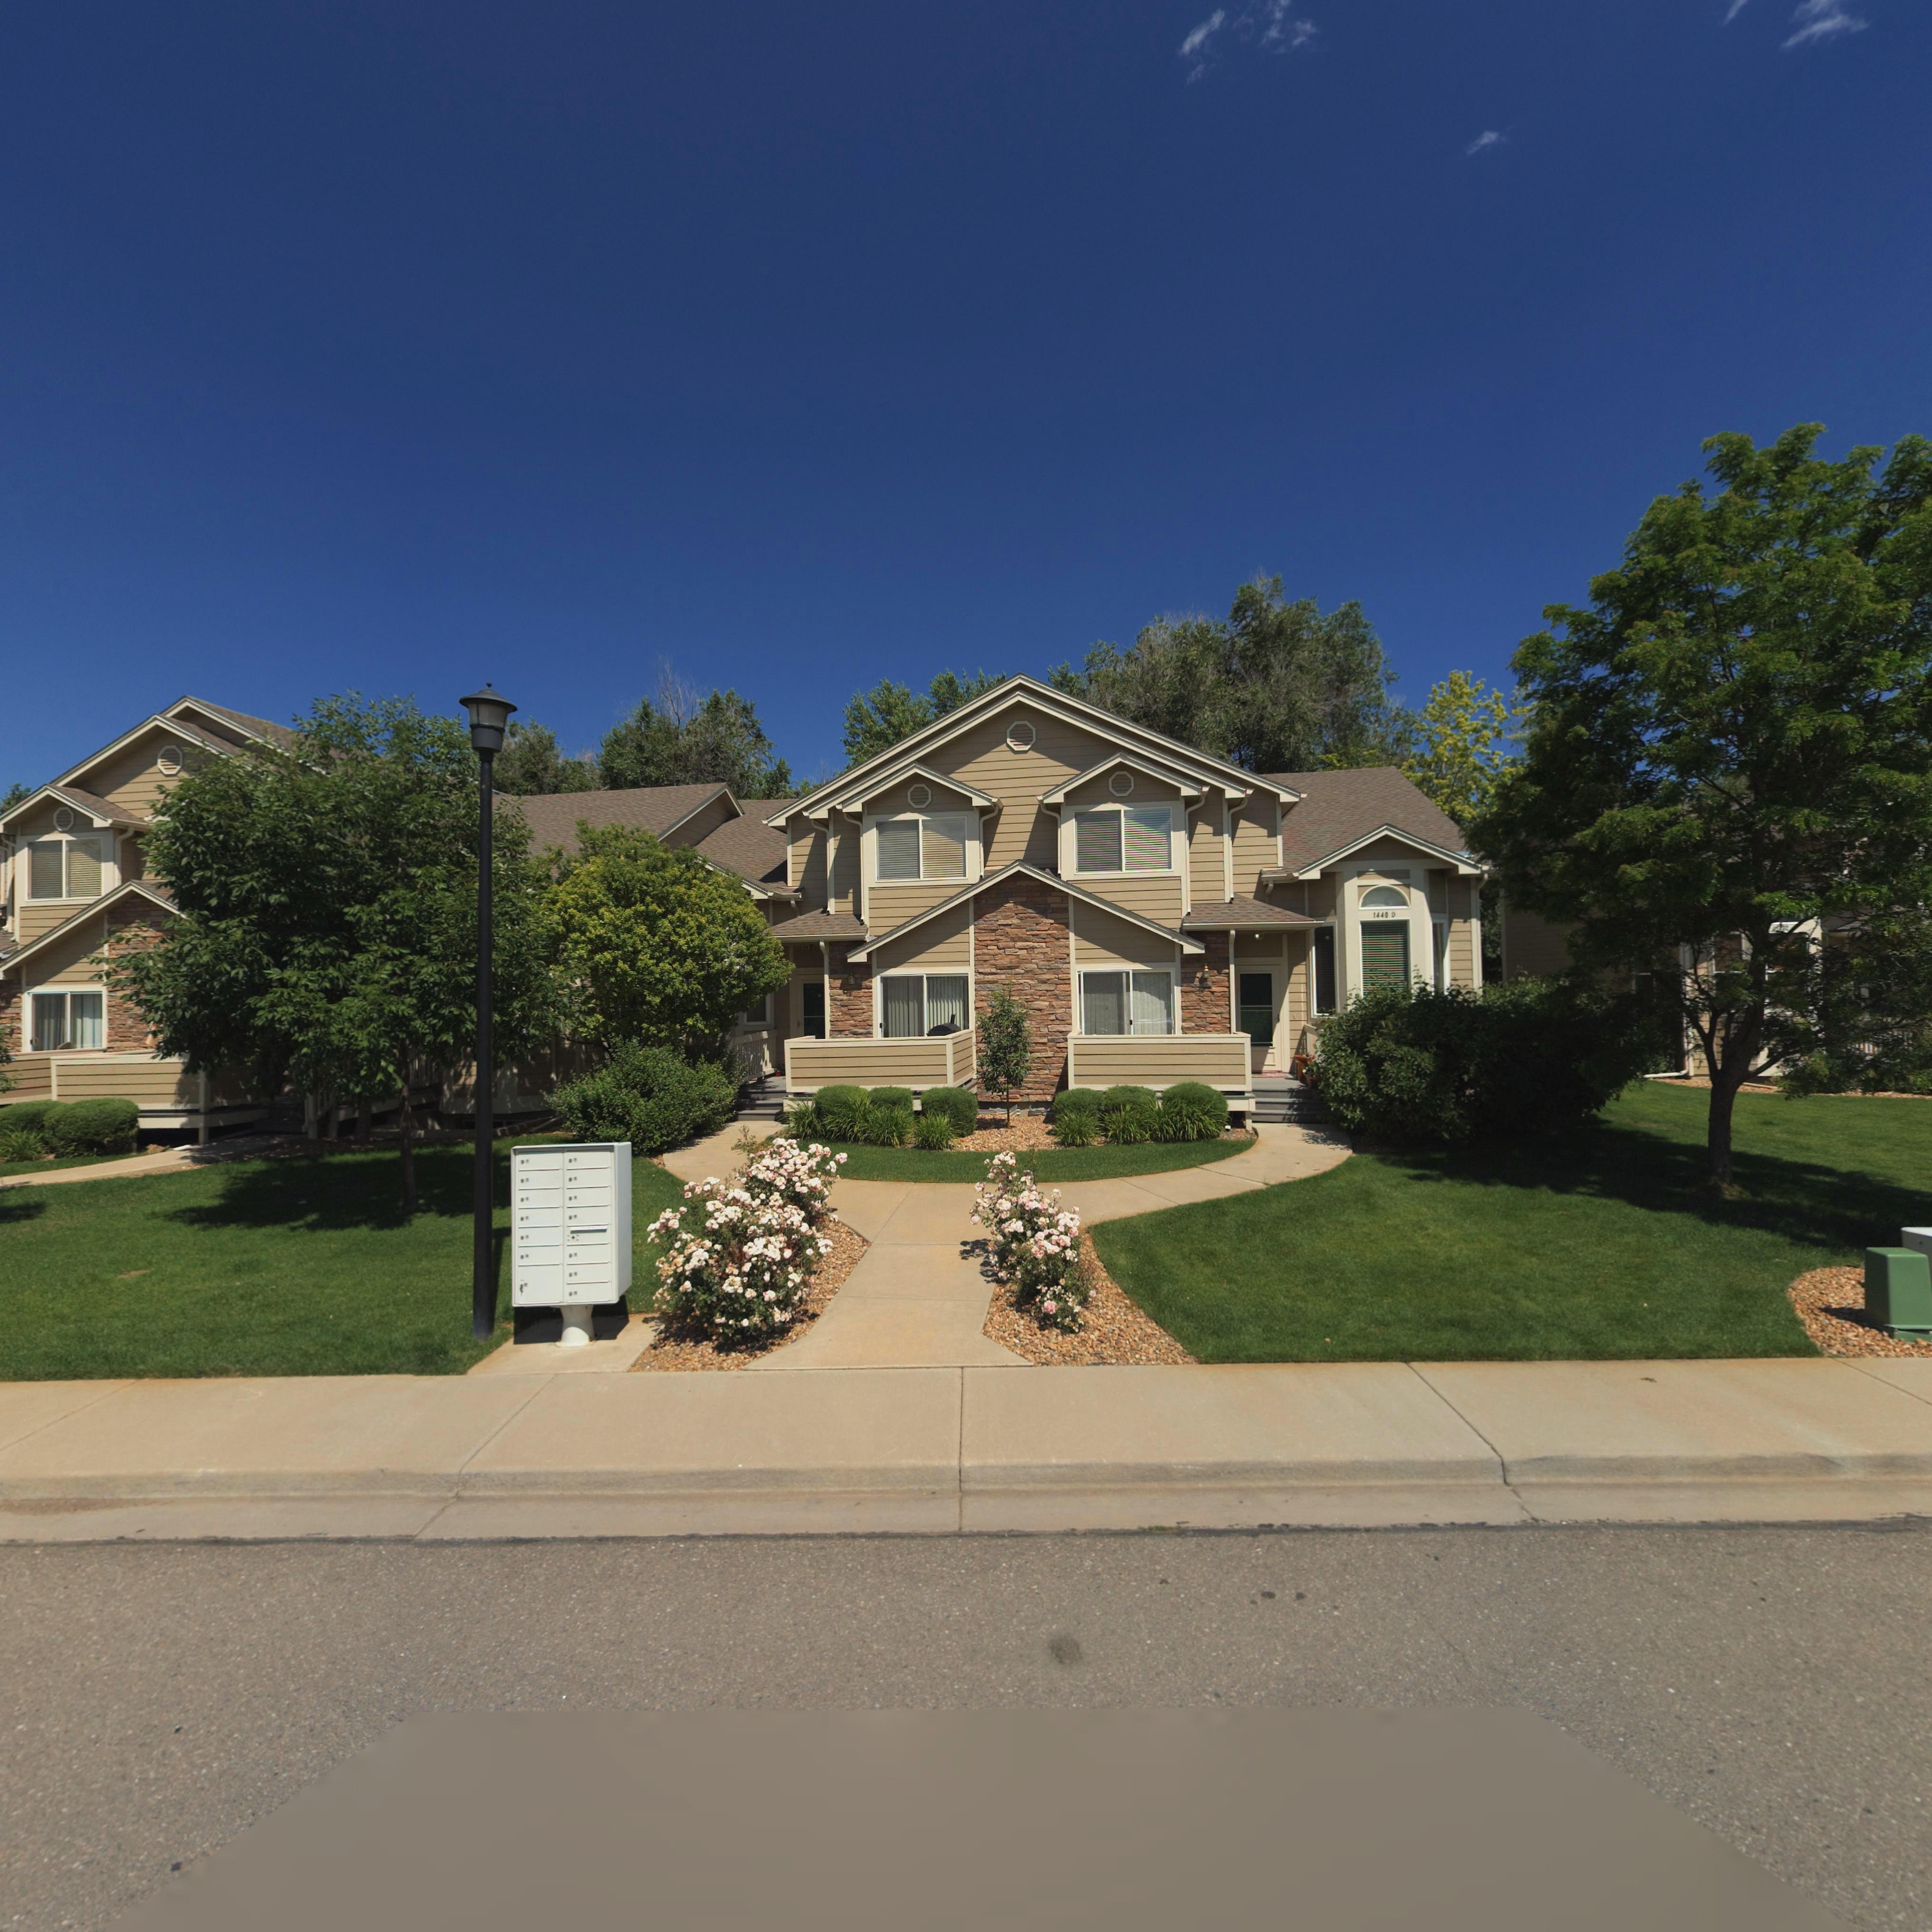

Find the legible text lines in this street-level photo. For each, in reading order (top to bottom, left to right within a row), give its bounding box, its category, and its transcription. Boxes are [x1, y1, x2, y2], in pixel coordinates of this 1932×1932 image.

[1373, 911, 1396, 918] StreetNumber: 1440 D